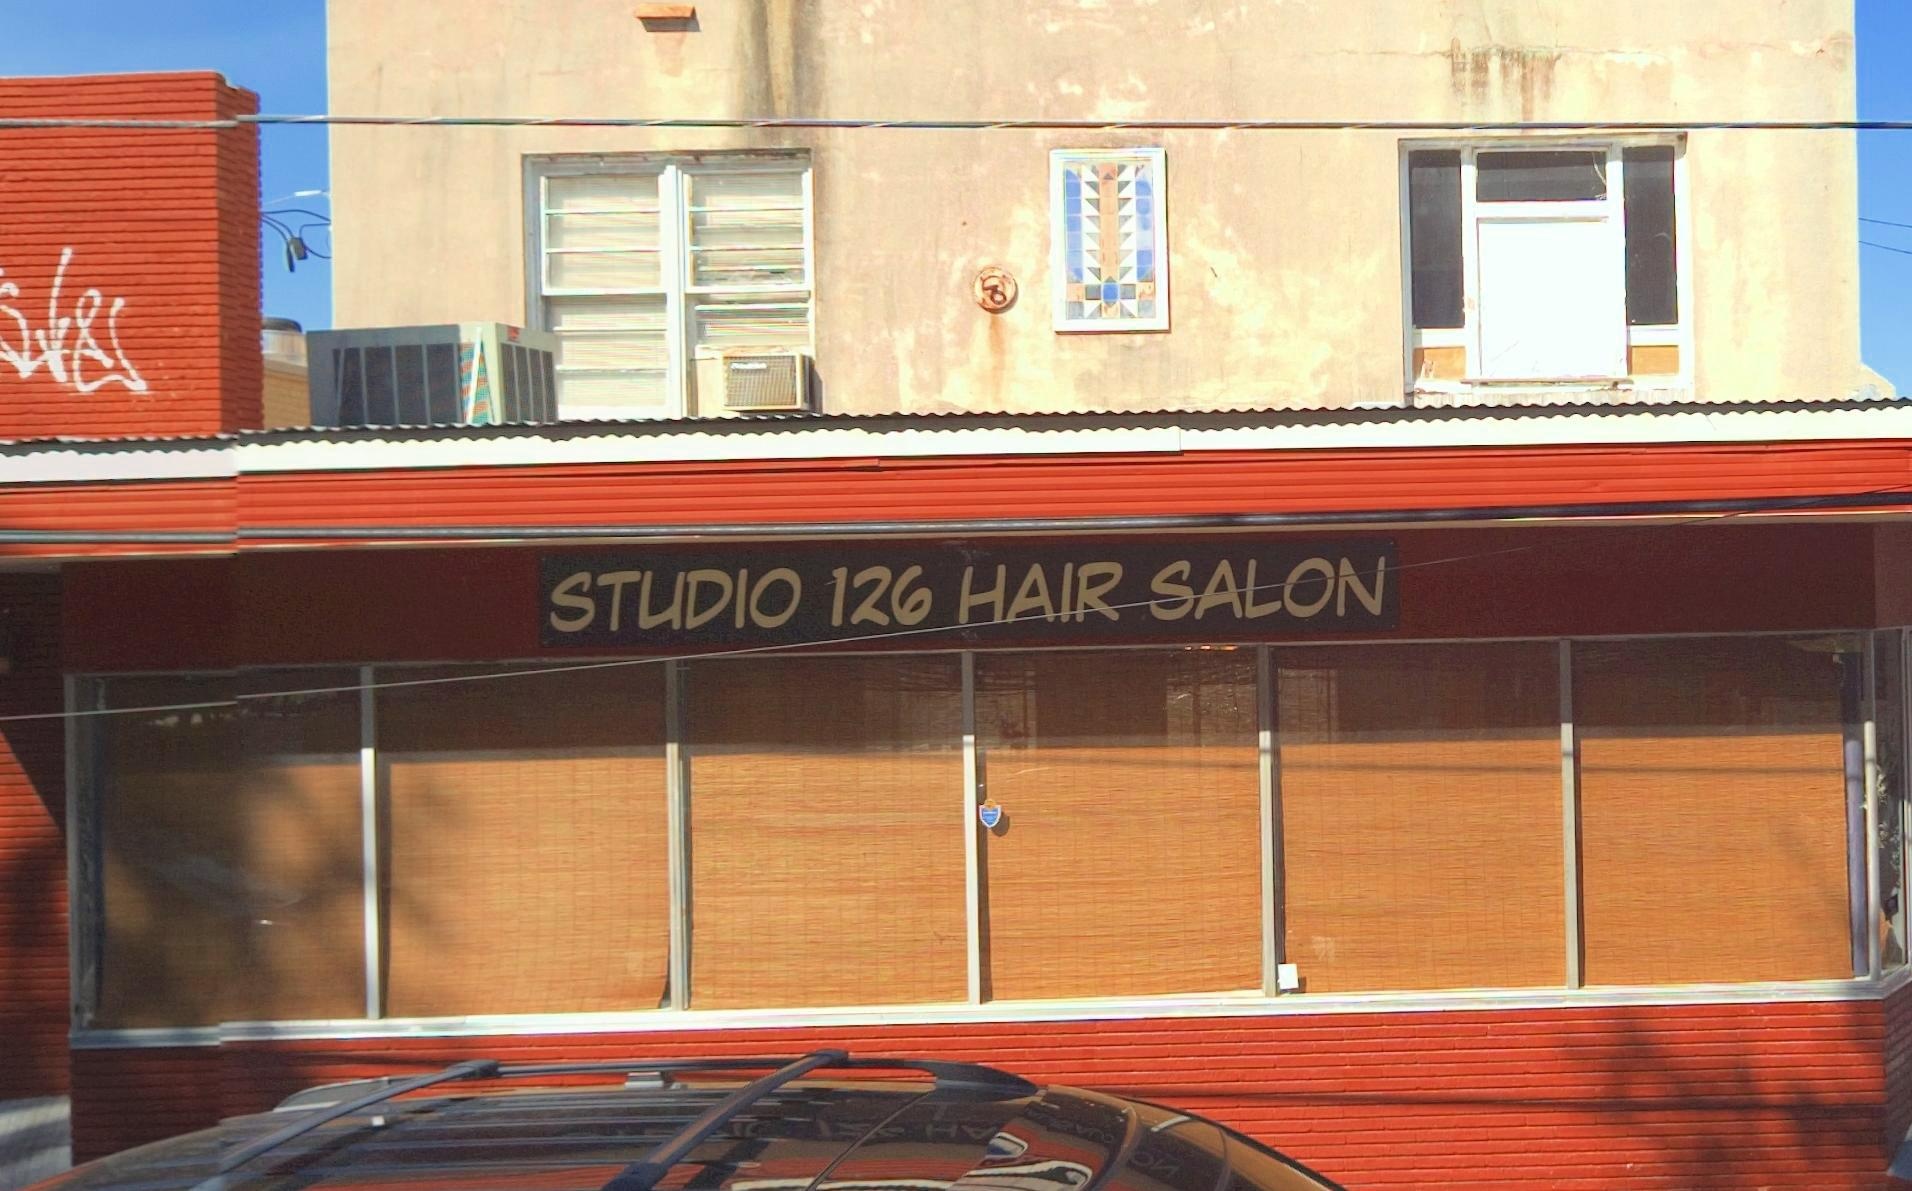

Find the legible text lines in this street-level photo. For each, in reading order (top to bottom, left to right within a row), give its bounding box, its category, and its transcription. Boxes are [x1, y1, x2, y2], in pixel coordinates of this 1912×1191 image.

[544, 554, 1388, 635] BusinessName: STUDIO 126 HAIR SALON
[924, 1120, 1004, 1145] None: H*
[1123, 1144, 1183, 1186] None: O*